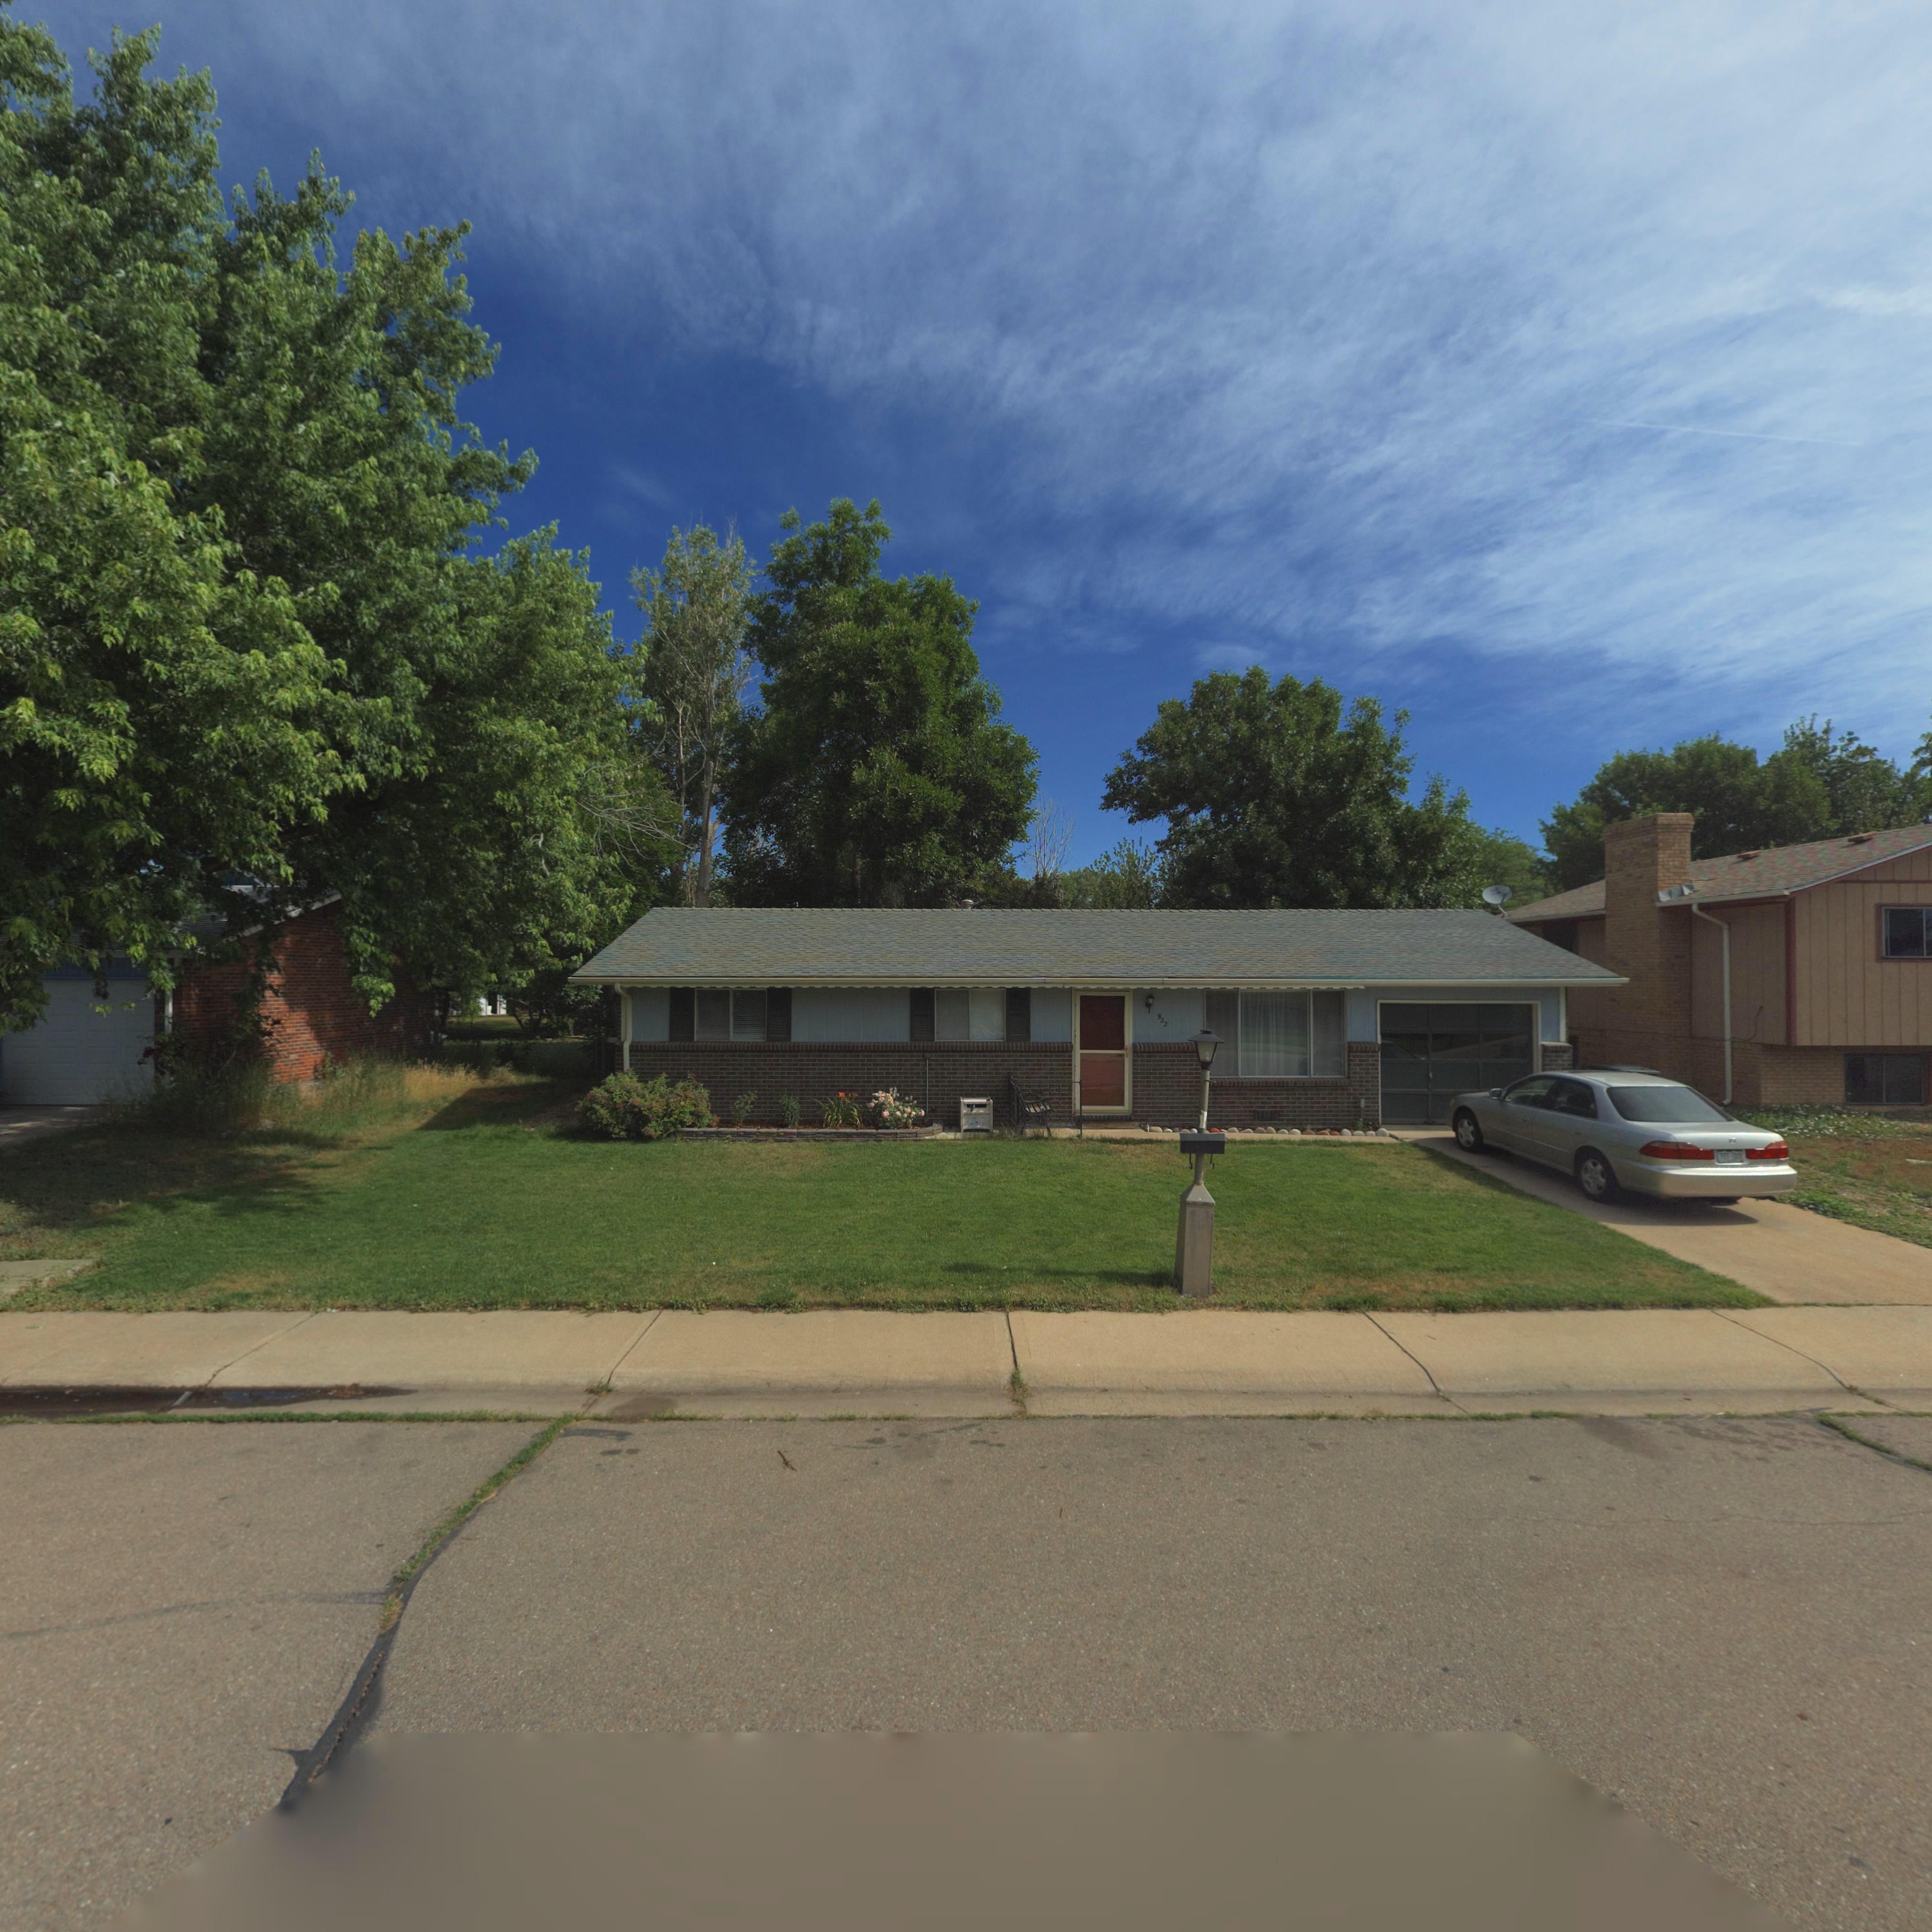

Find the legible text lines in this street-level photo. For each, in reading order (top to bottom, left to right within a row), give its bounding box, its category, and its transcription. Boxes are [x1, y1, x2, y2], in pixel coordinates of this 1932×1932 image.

[1157, 1013, 1168, 1027] StreetNumber: 922